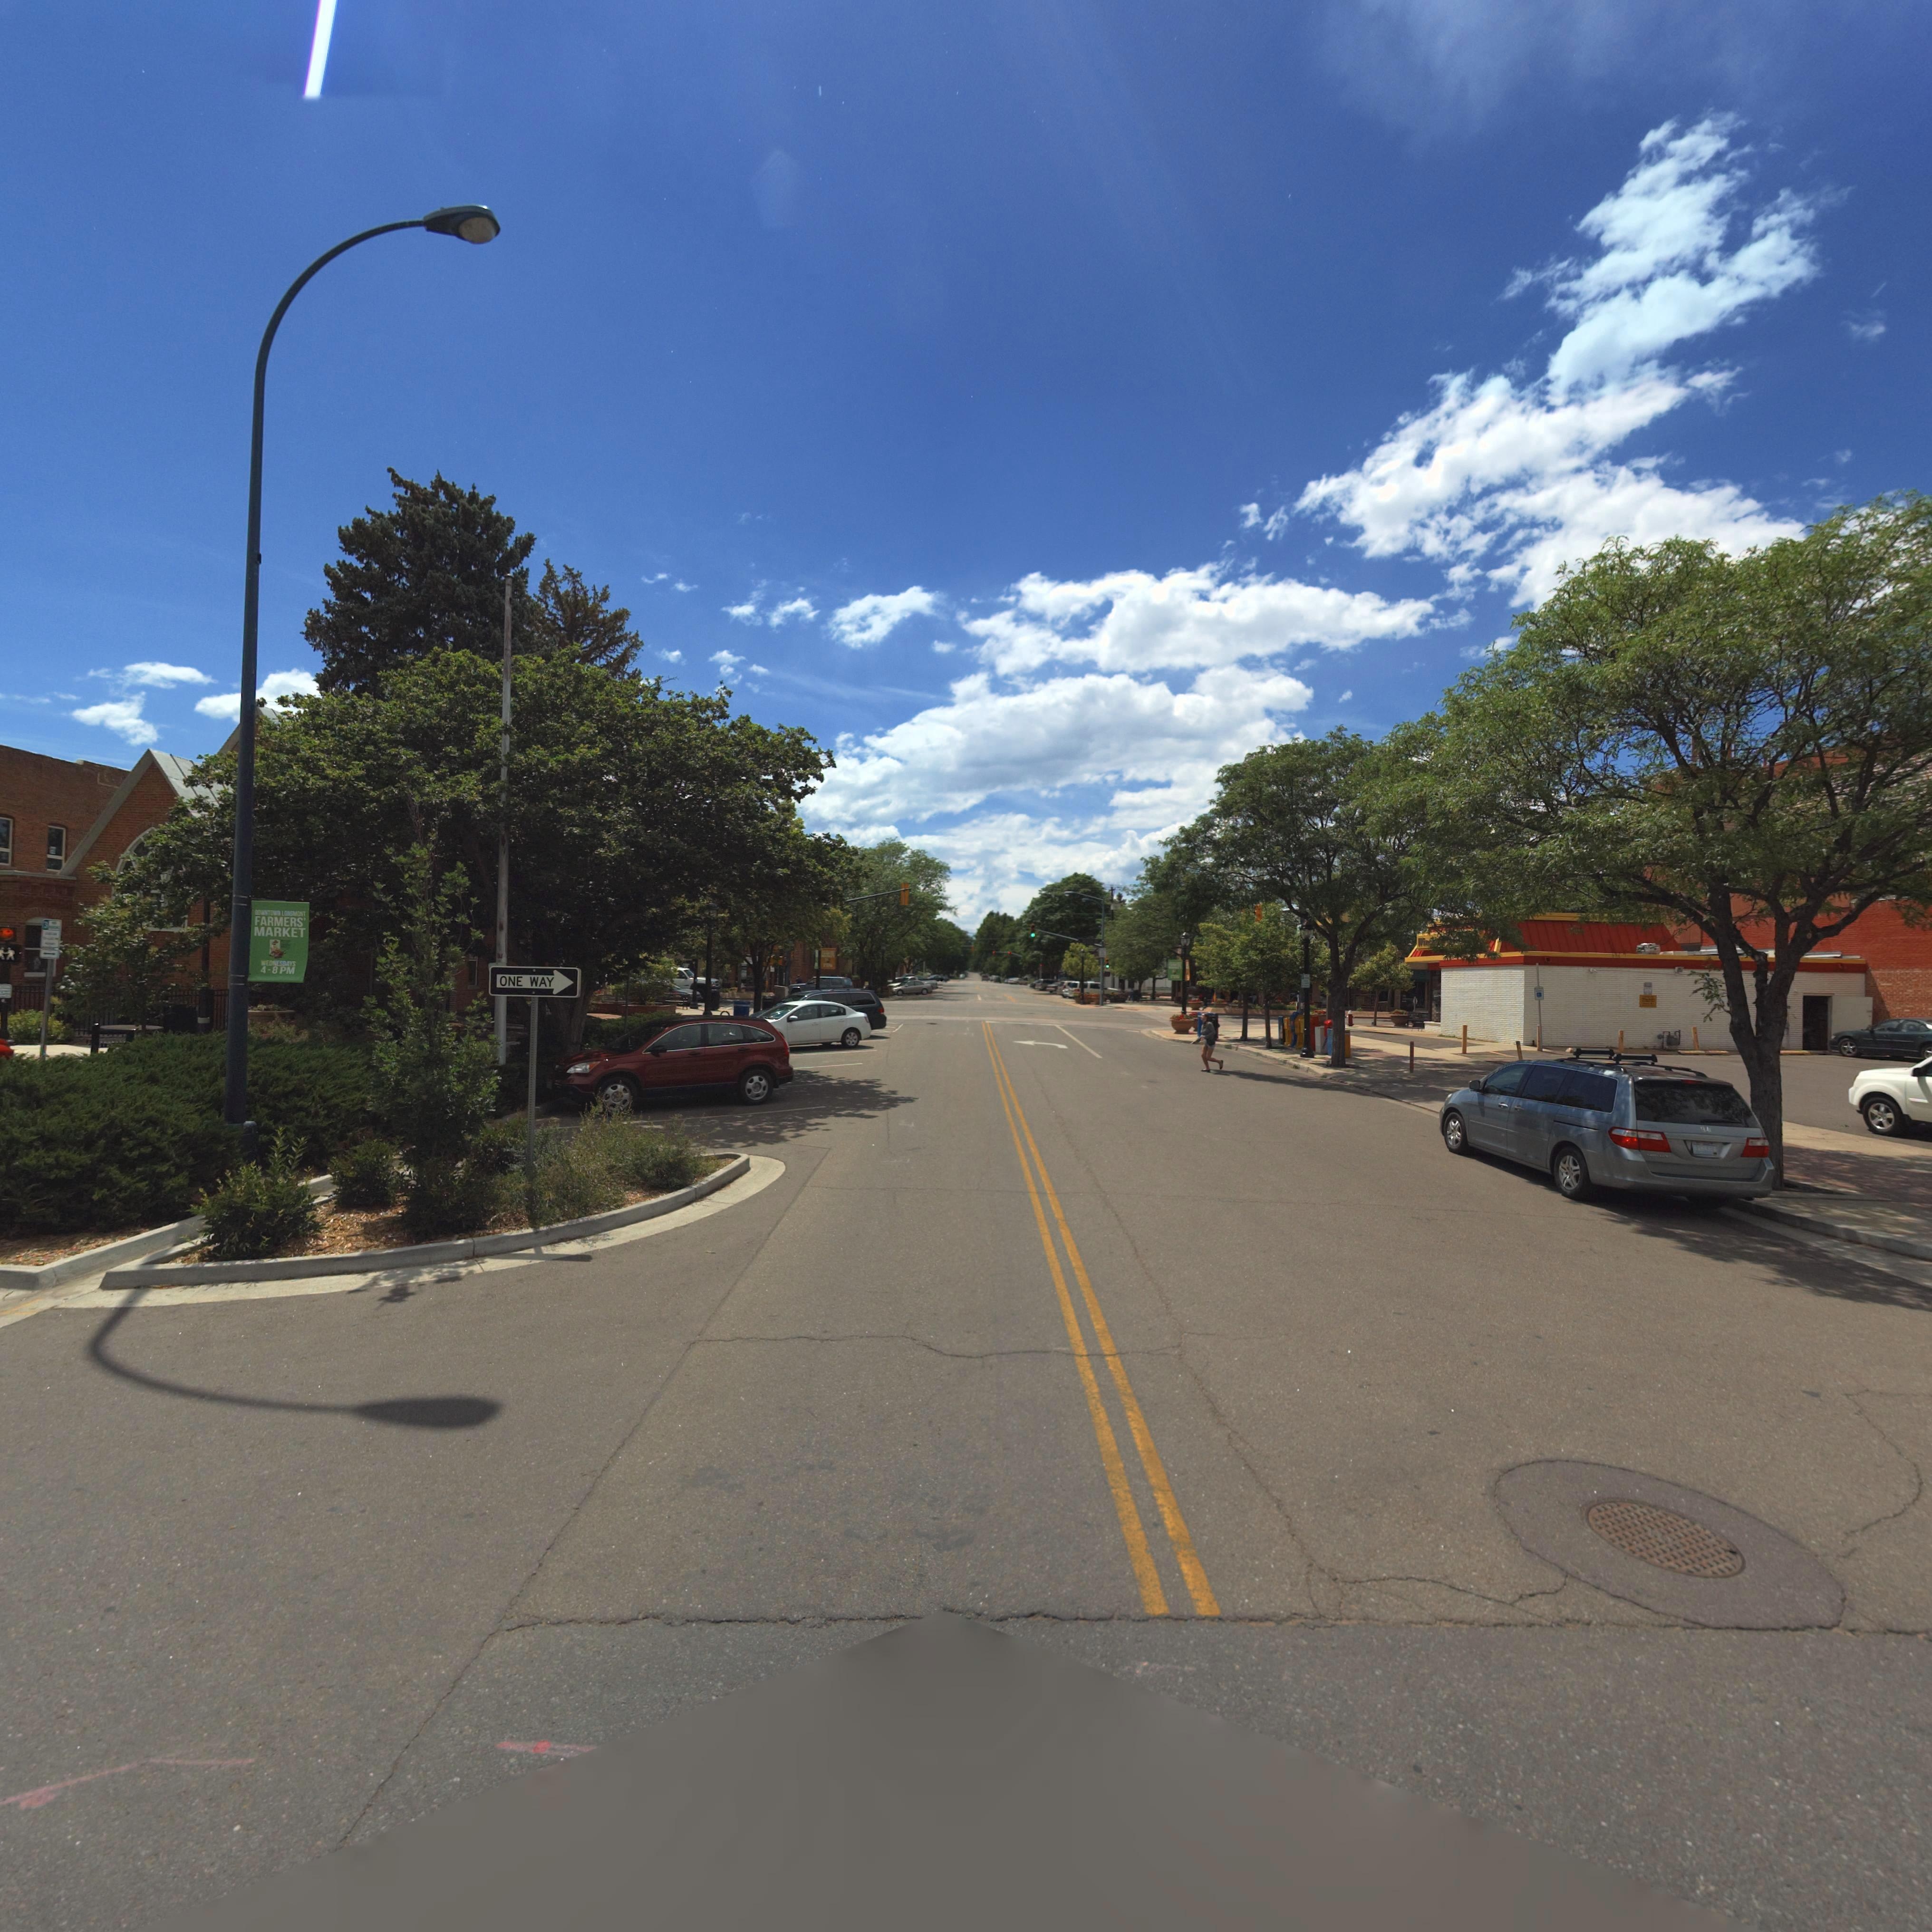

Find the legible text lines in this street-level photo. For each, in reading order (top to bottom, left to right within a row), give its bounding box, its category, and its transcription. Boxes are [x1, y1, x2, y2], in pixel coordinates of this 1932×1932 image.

[1418, 937, 1429, 946] BusinessName: Win